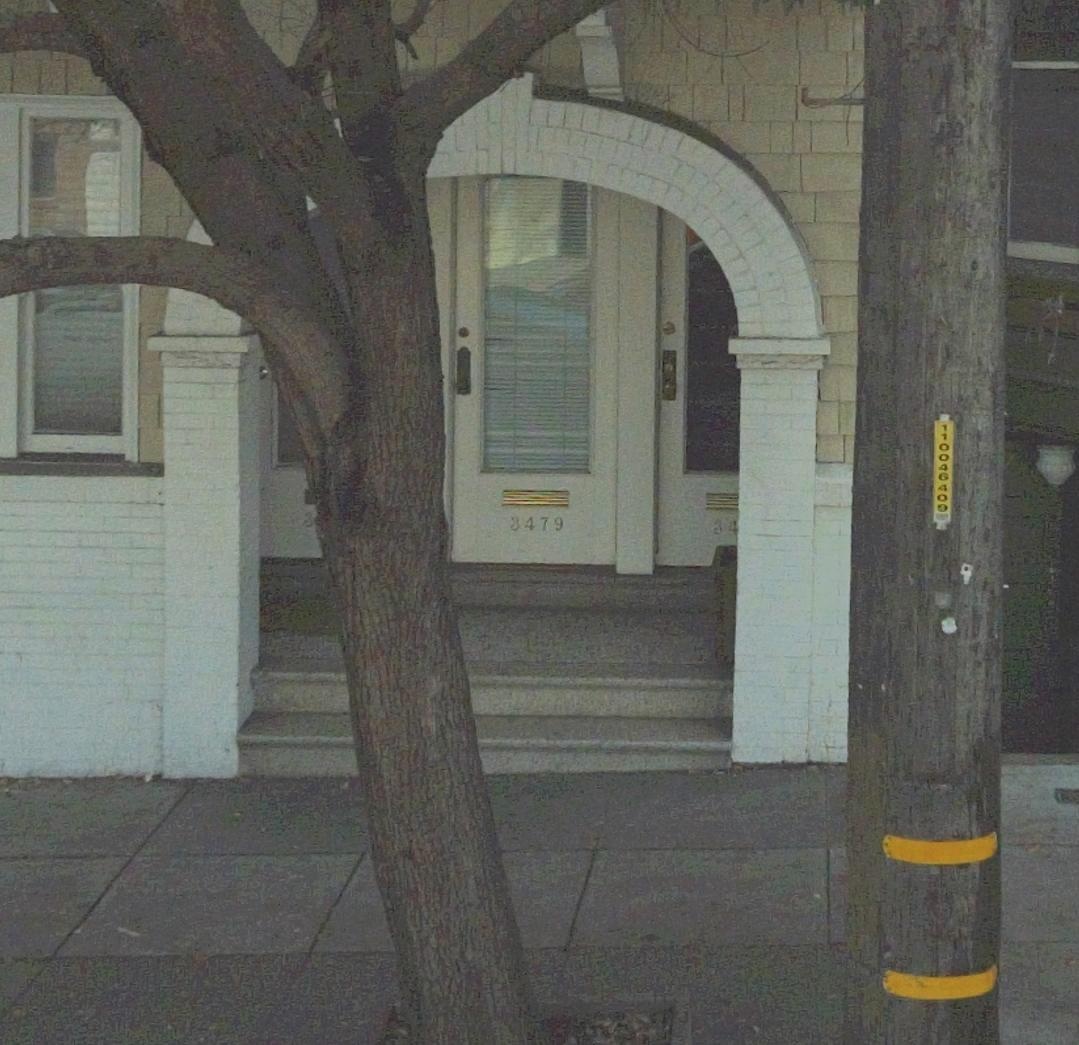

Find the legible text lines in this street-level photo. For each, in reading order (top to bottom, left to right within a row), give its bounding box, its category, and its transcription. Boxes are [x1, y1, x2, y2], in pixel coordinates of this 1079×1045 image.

[935, 422, 950, 512] None: 11004*409
[510, 514, 564, 532] StreetNumber: 3479
[712, 518, 739, 536] StreetNumber: 34